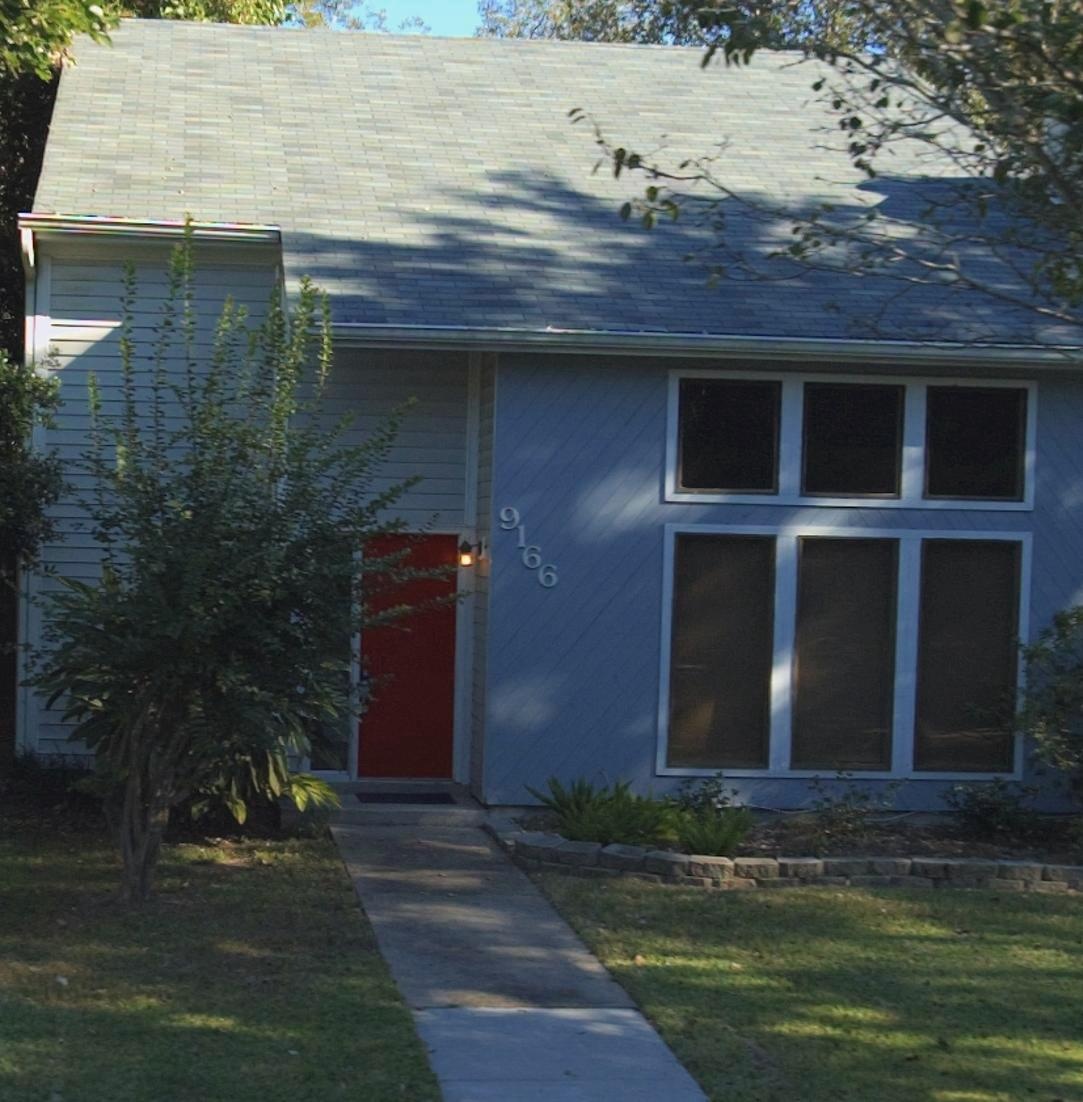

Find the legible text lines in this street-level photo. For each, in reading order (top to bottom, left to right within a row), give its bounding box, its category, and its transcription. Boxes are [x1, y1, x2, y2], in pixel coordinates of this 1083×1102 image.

[499, 506, 562, 601] StreetNumber: 9166